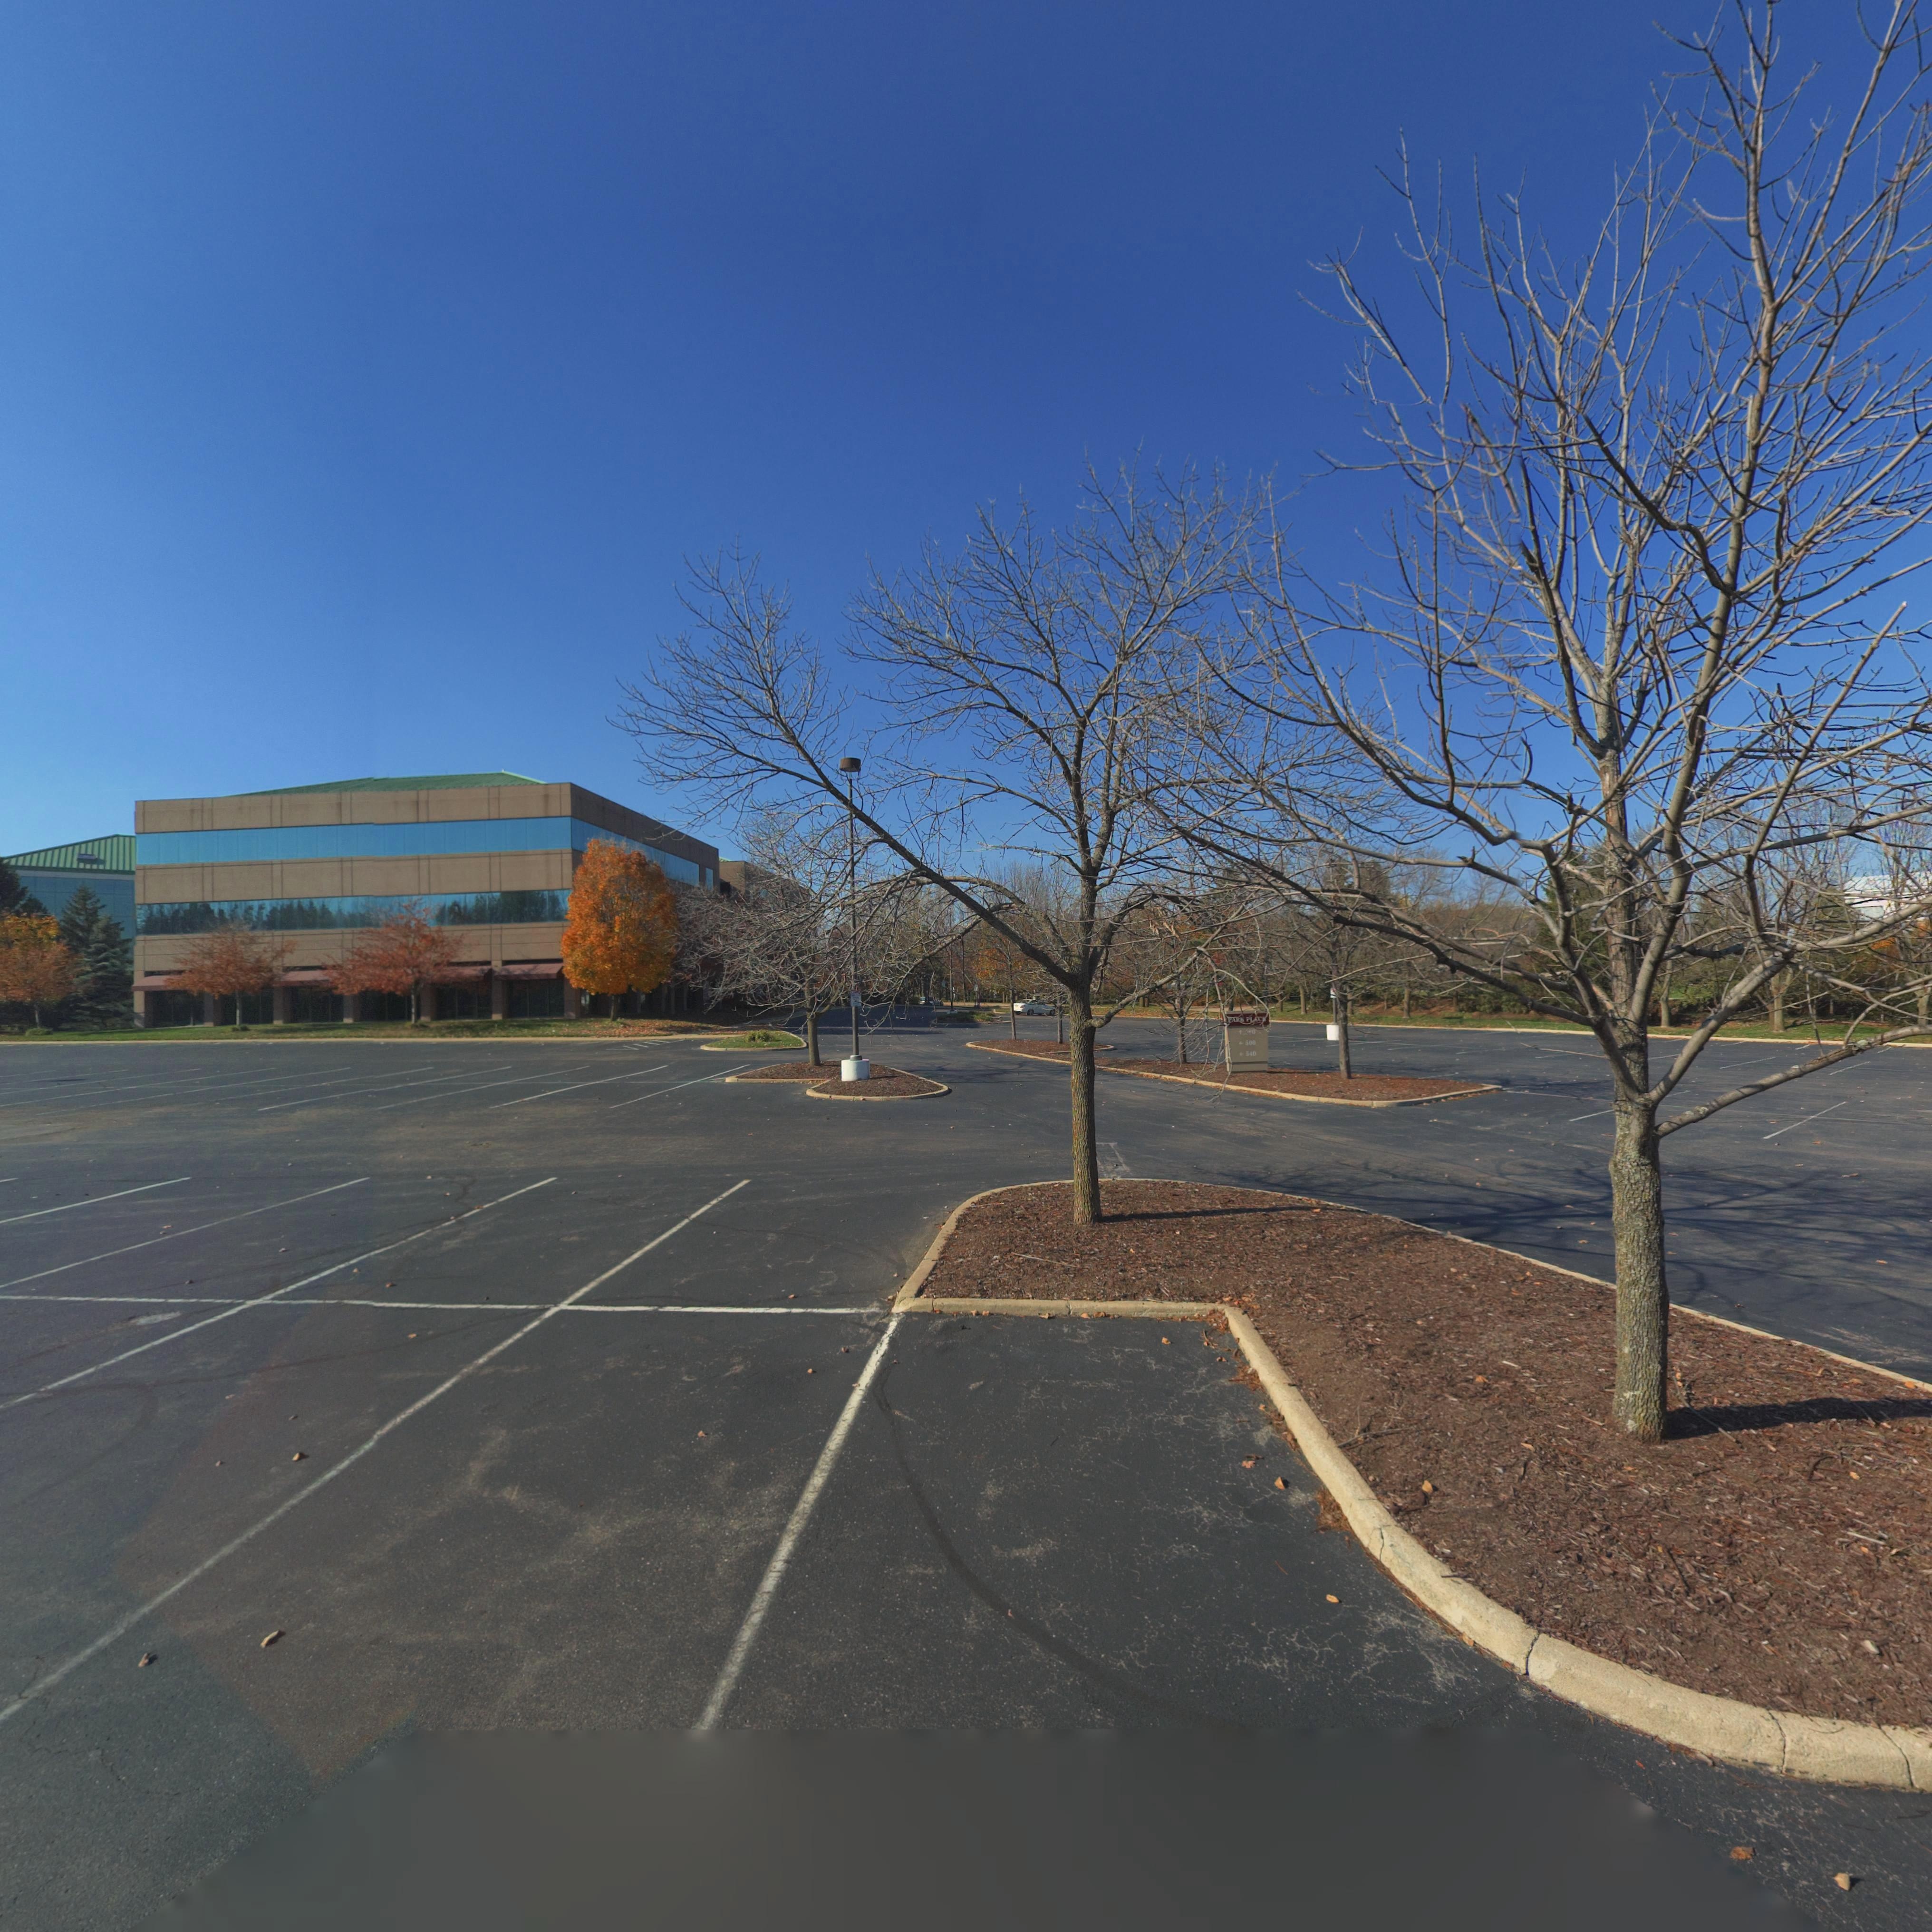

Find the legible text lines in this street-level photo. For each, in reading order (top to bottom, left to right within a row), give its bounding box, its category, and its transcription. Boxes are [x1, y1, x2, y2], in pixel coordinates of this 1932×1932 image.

[1228, 1016, 1266, 1023] None: PARK PLACE
[1244, 1029, 1256, 1034] StreetNumber: 580
[1245, 1040, 1256, 1046] StreetNumber: 500
[1245, 1051, 1256, 1056] StreetNumber: 540